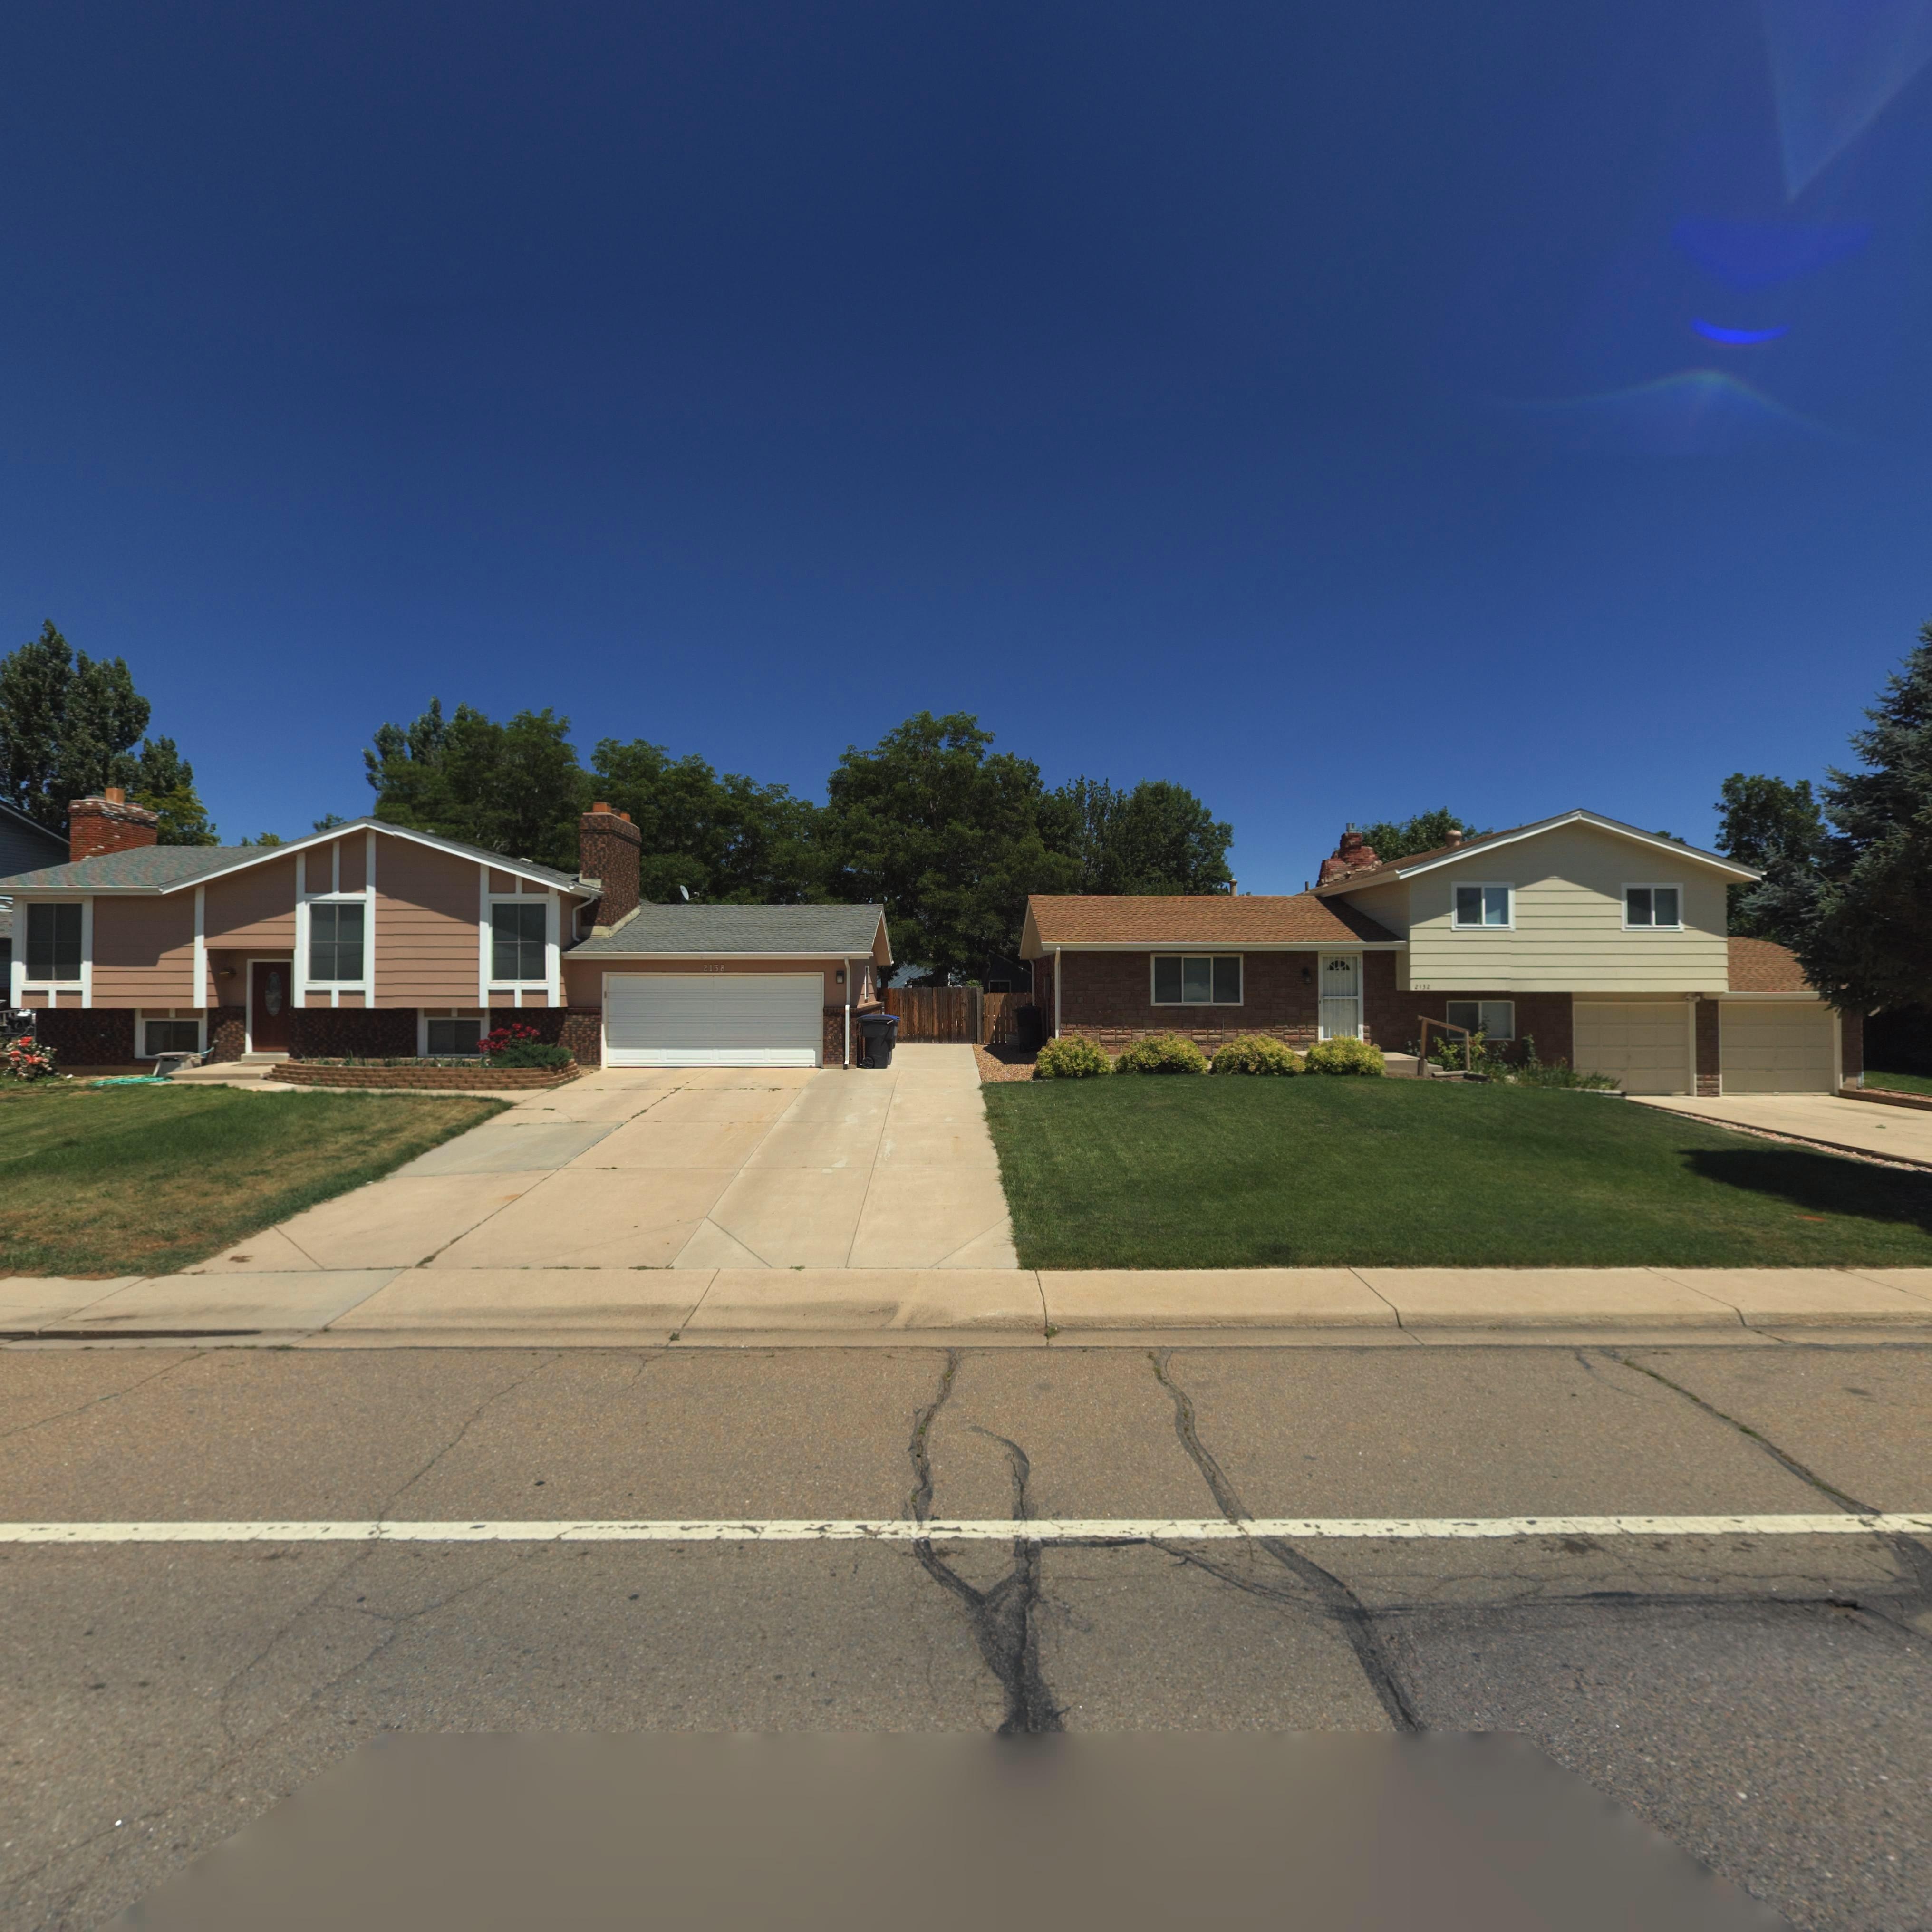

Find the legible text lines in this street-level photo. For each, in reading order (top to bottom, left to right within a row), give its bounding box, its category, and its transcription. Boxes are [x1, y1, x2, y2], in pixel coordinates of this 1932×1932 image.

[703, 963, 724, 971] StreetNumber: 2138
[1414, 984, 1430, 989] StreetNumber: 2132